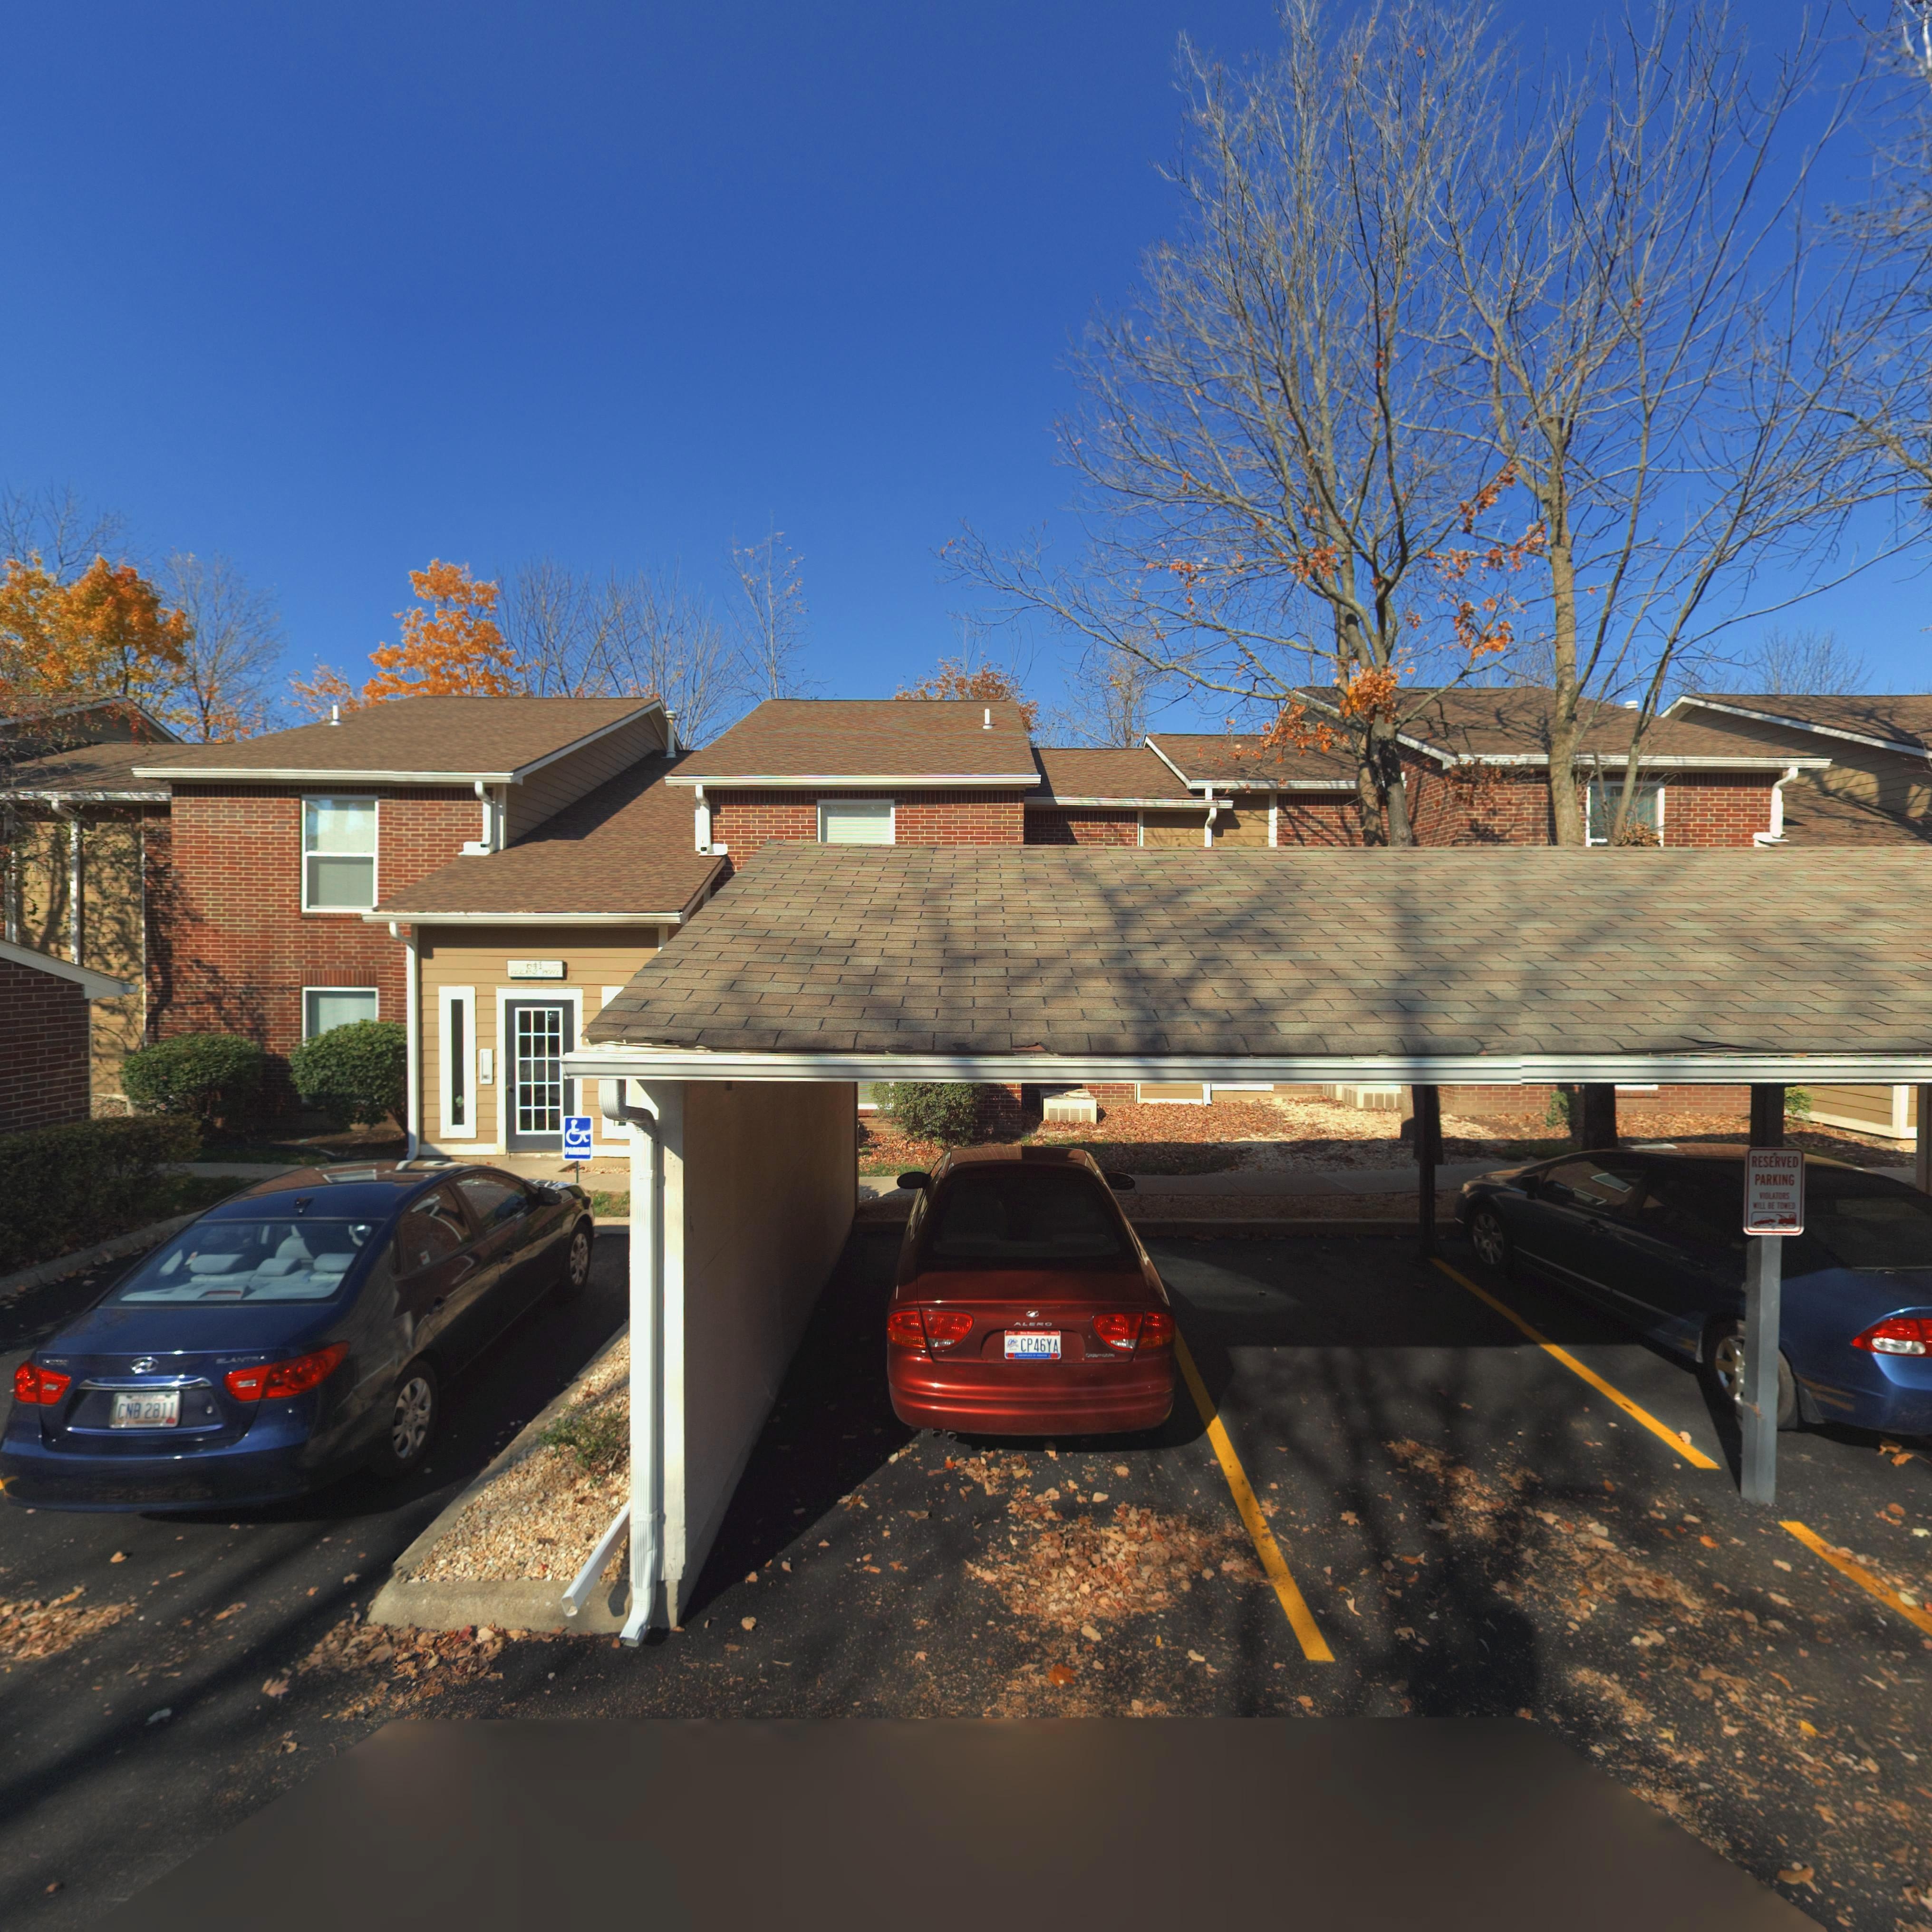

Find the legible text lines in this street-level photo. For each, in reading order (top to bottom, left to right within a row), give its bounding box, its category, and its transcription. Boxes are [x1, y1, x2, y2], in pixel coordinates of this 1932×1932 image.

[525, 960, 543, 970] StreetNumber: 641
[1751, 1154, 1800, 1169] None: RESERVED
[1753, 1172, 1796, 1188] None: PARKING
[1767, 1200, 1776, 1211] None: BE
[1013, 1321, 1053, 1327] None: AL*RO
[1020, 1337, 1060, 1353] None: CP46YA
[116, 1401, 175, 1420] None: CNB 2811